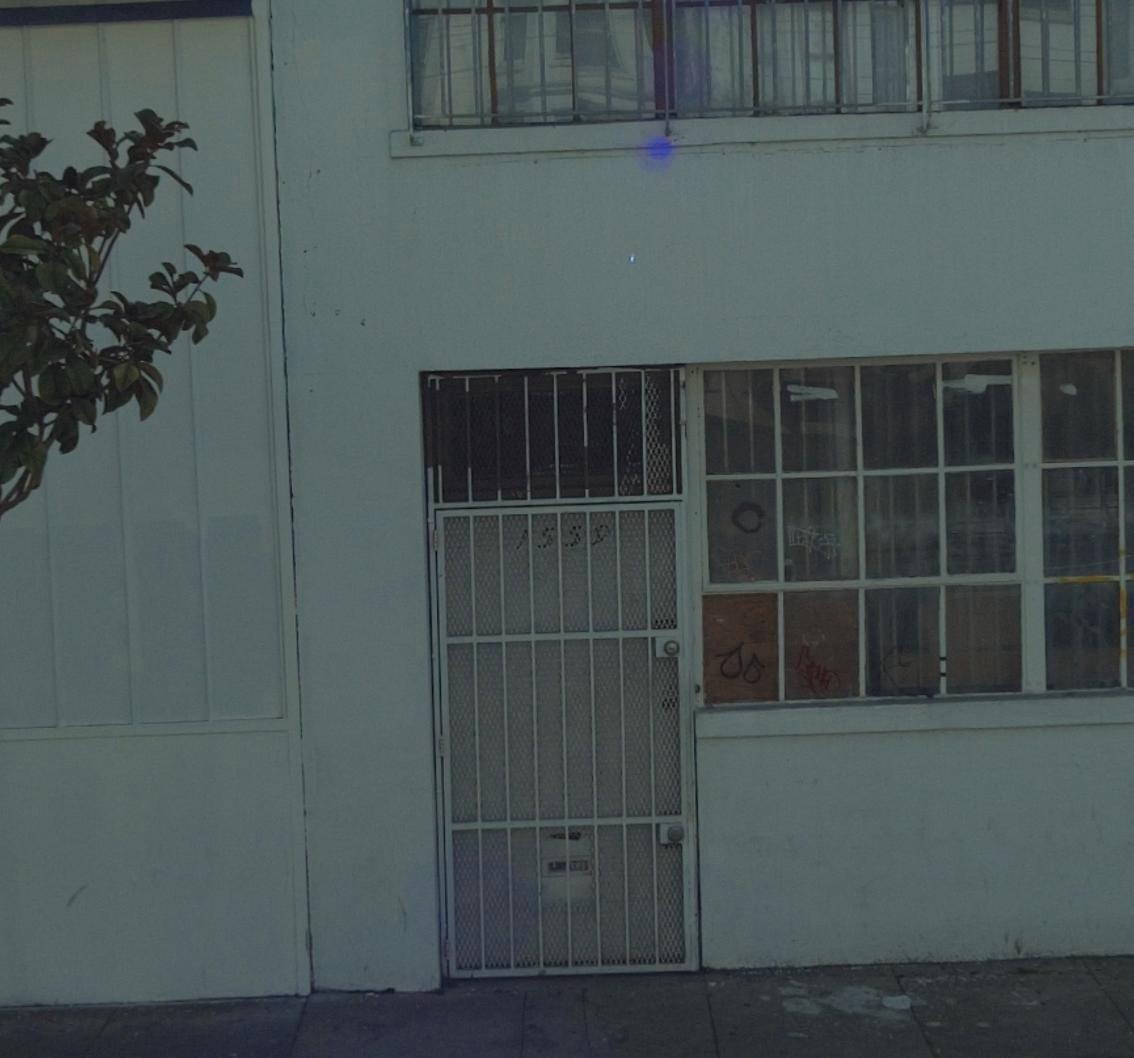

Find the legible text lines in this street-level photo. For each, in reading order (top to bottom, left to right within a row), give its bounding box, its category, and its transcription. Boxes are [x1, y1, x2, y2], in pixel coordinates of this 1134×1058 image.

[511, 519, 614, 556] StreetNumber: 1559